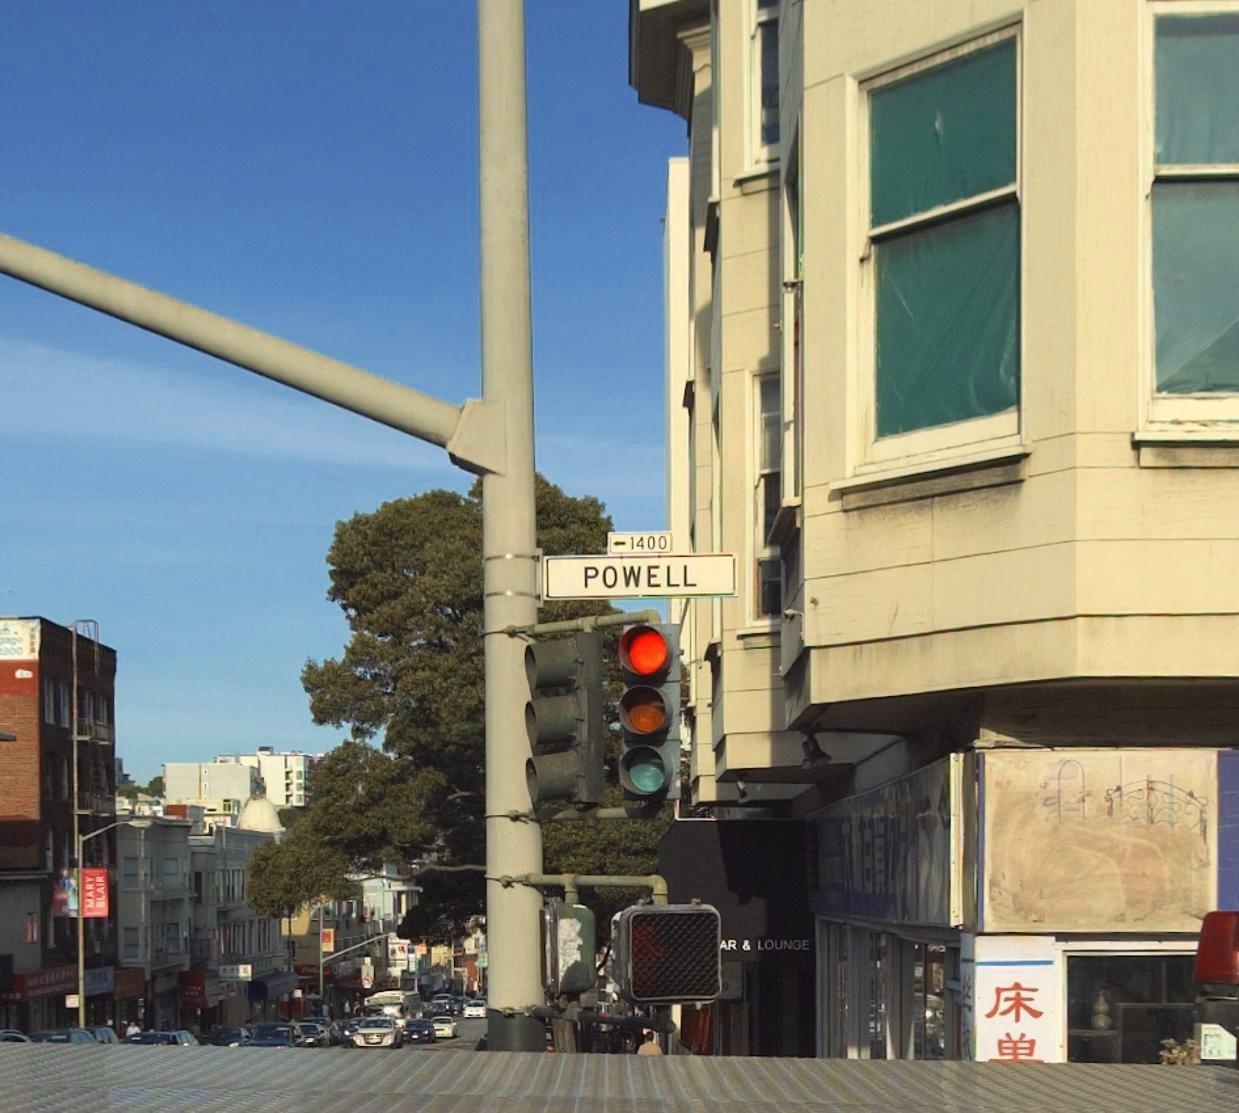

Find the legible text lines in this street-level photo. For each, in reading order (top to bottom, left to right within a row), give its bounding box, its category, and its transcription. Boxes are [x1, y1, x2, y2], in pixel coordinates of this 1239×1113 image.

[609, 533, 669, 553] StreetNumberRange: <-1400
[581, 562, 699, 591] StreetName: POWELL
[7, 644, 24, 657] None: 00
[83, 875, 96, 910] None: MARY
[95, 875, 107, 910] None: BLAIR
[718, 936, 812, 954] None: AR & LOUNGE